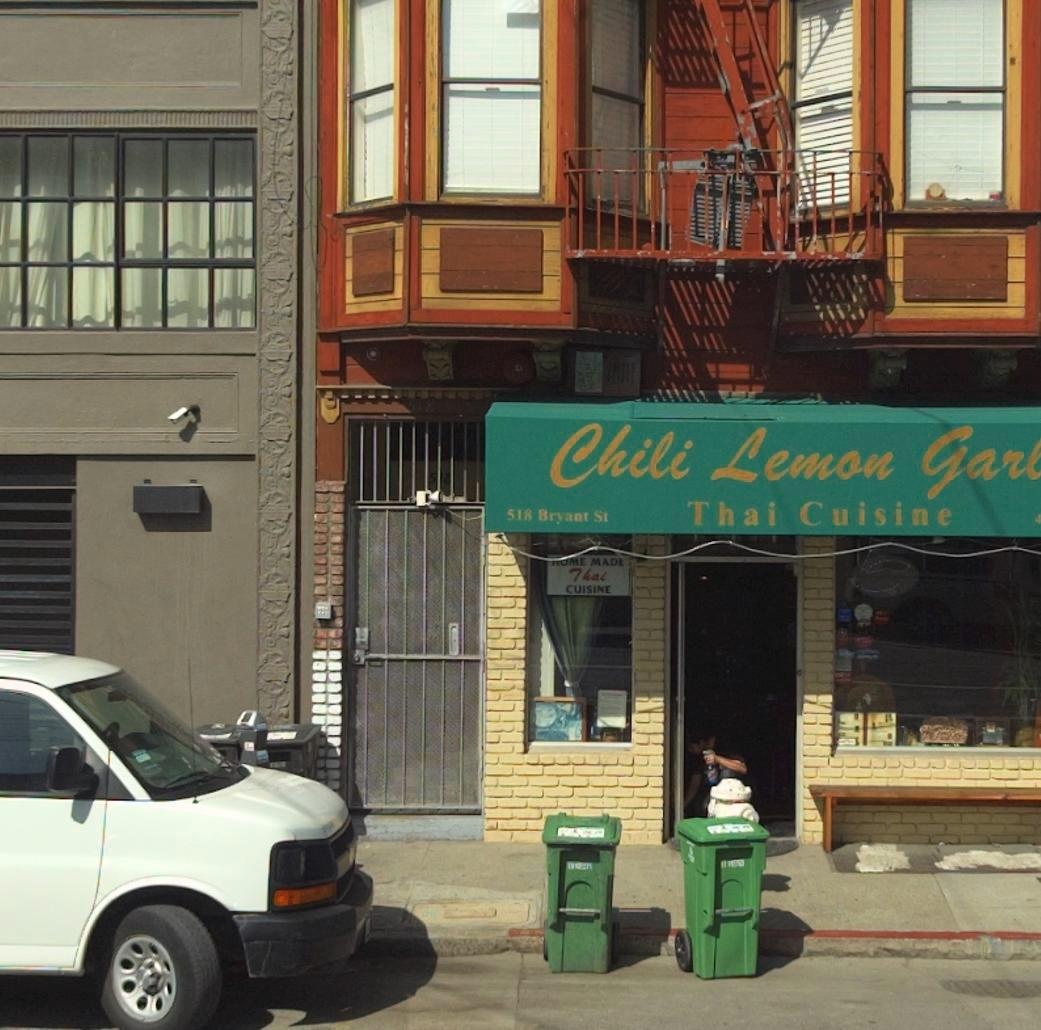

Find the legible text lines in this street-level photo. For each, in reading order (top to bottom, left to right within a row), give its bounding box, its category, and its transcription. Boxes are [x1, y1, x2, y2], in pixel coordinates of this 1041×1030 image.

[532, 418, 1036, 507] BusinessName: Chili Lemon Gar
[505, 505, 534, 524] StreetNumber: 518B
[537, 506, 612, 528] StreetName: Bryant St
[685, 496, 965, 530] None: Thai Cuisine
[577, 555, 621, 569] None: E MAD
[568, 564, 611, 585] None: Thai
[563, 582, 614, 598] None: CUISINE